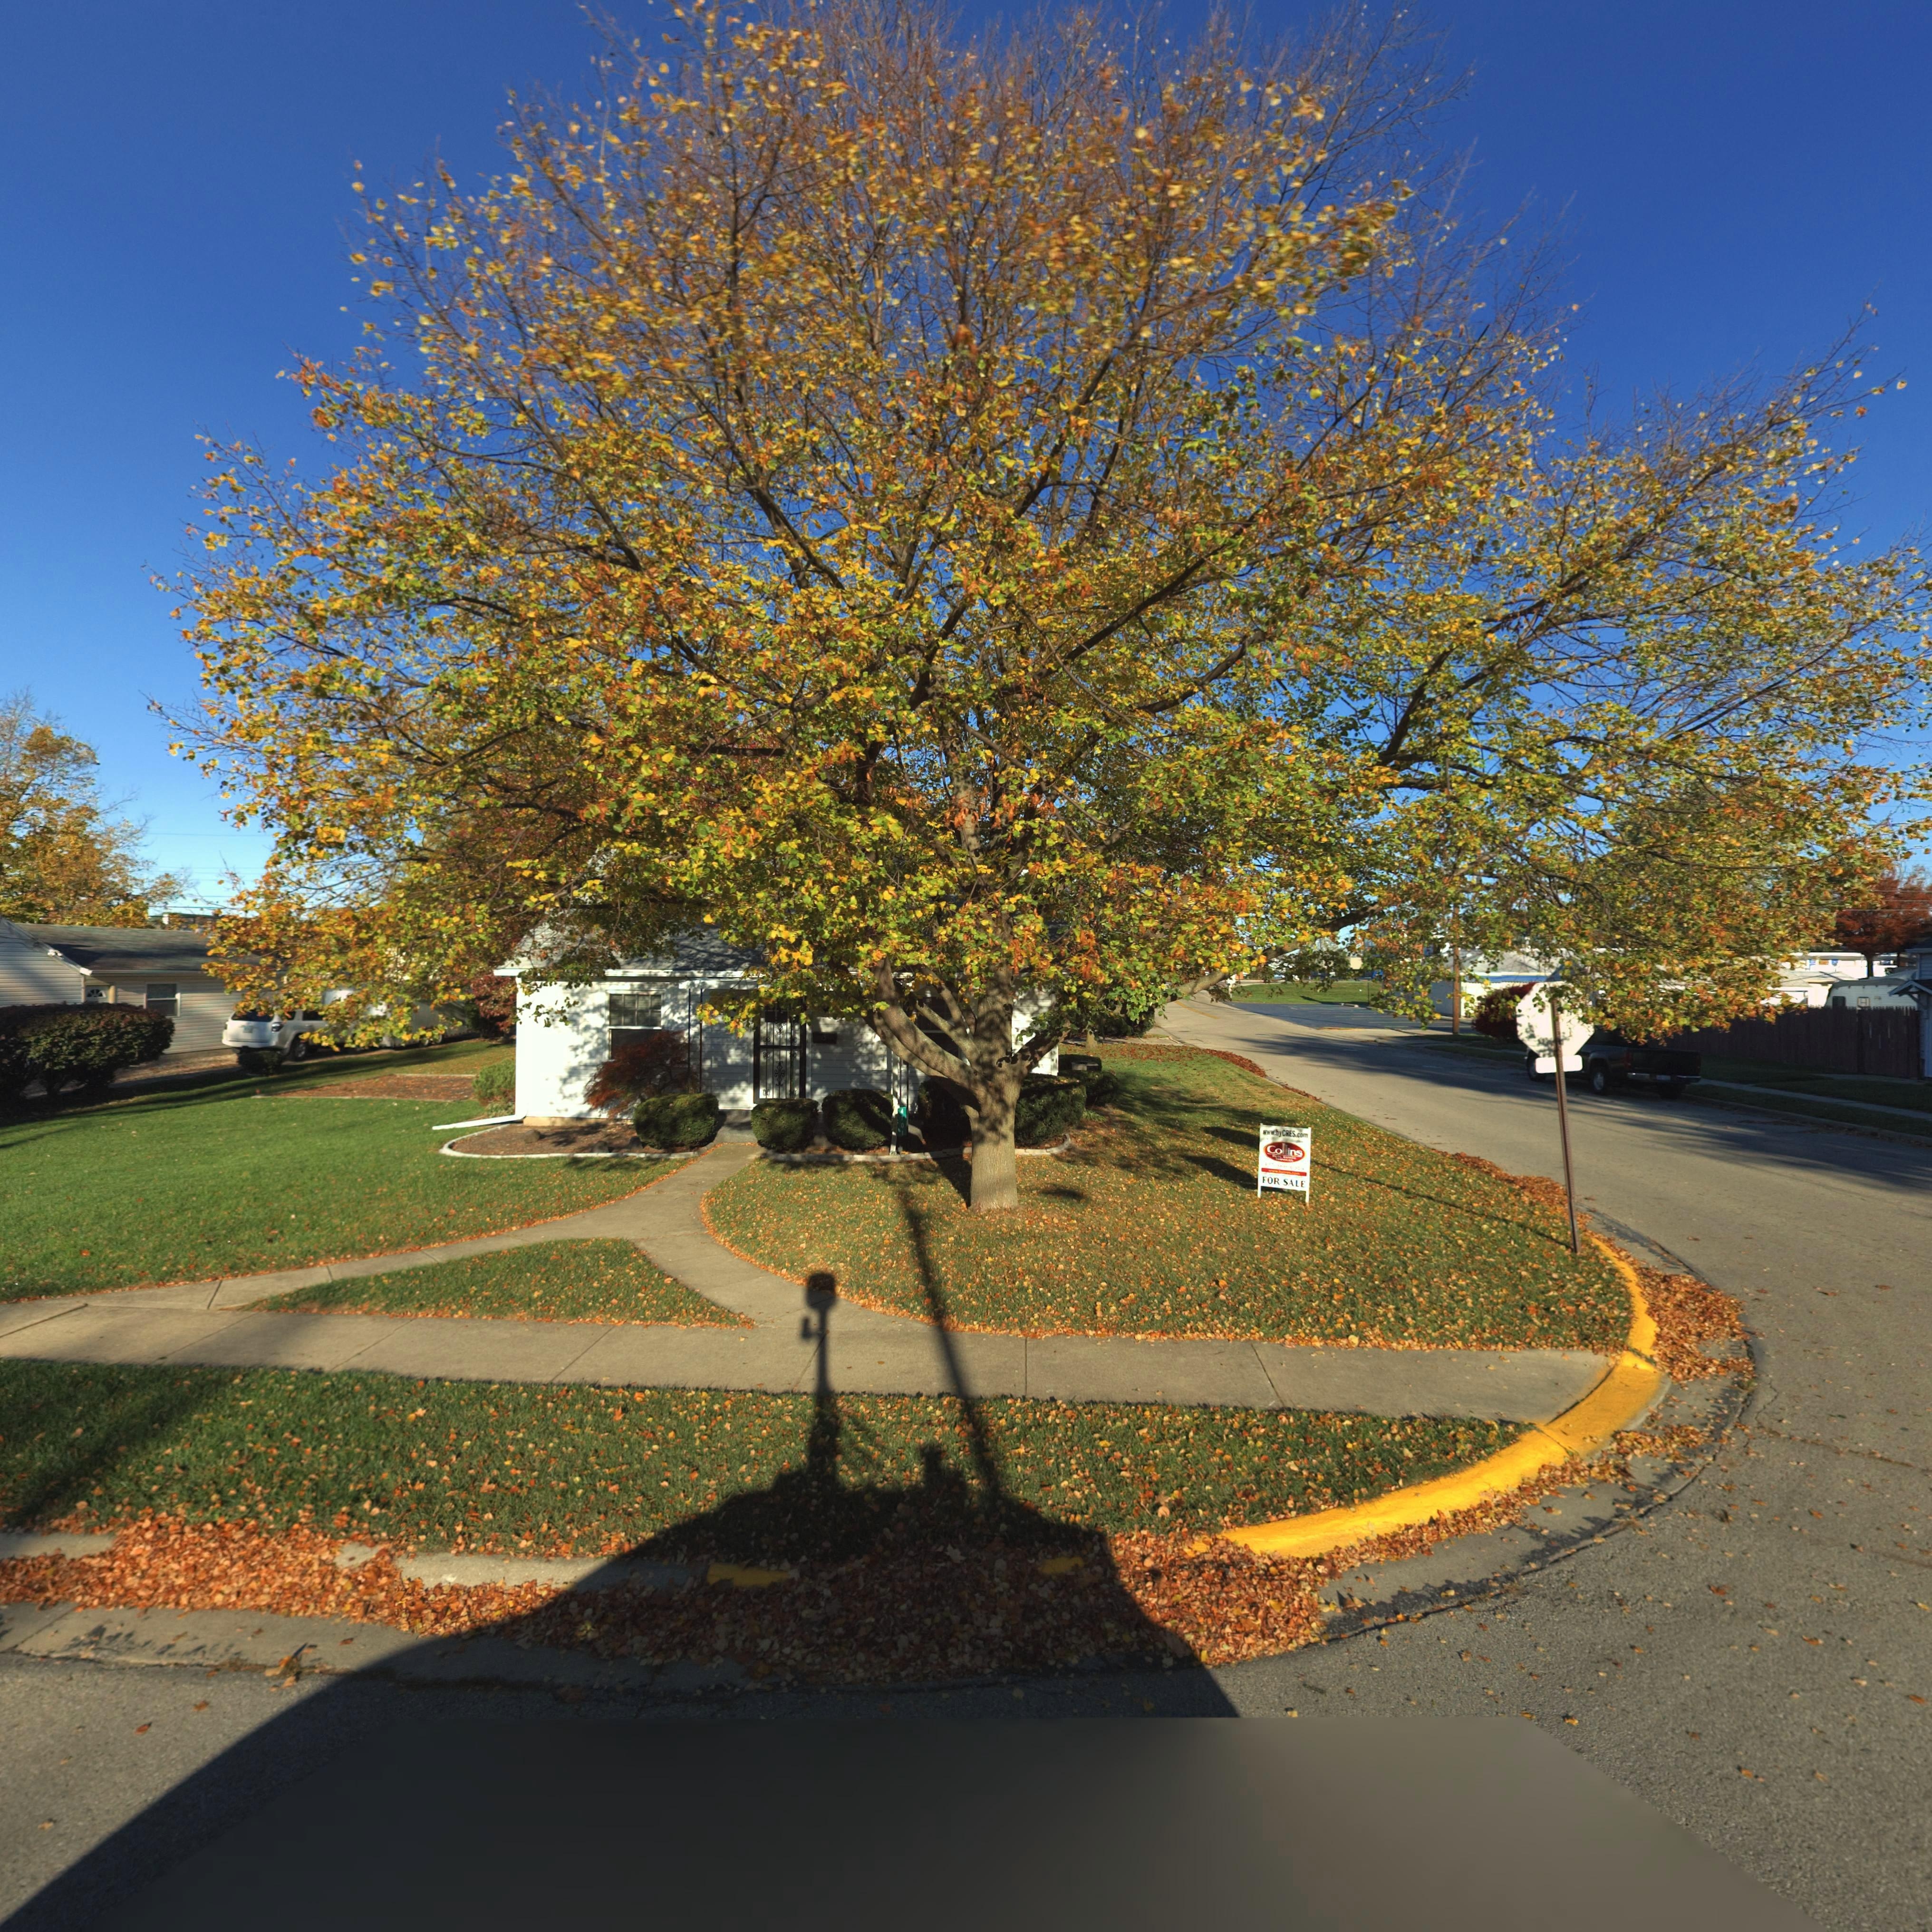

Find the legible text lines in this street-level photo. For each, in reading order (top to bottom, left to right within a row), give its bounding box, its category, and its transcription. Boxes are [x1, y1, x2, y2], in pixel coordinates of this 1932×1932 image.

[899, 1106, 905, 1137] StreetNumber: 470*